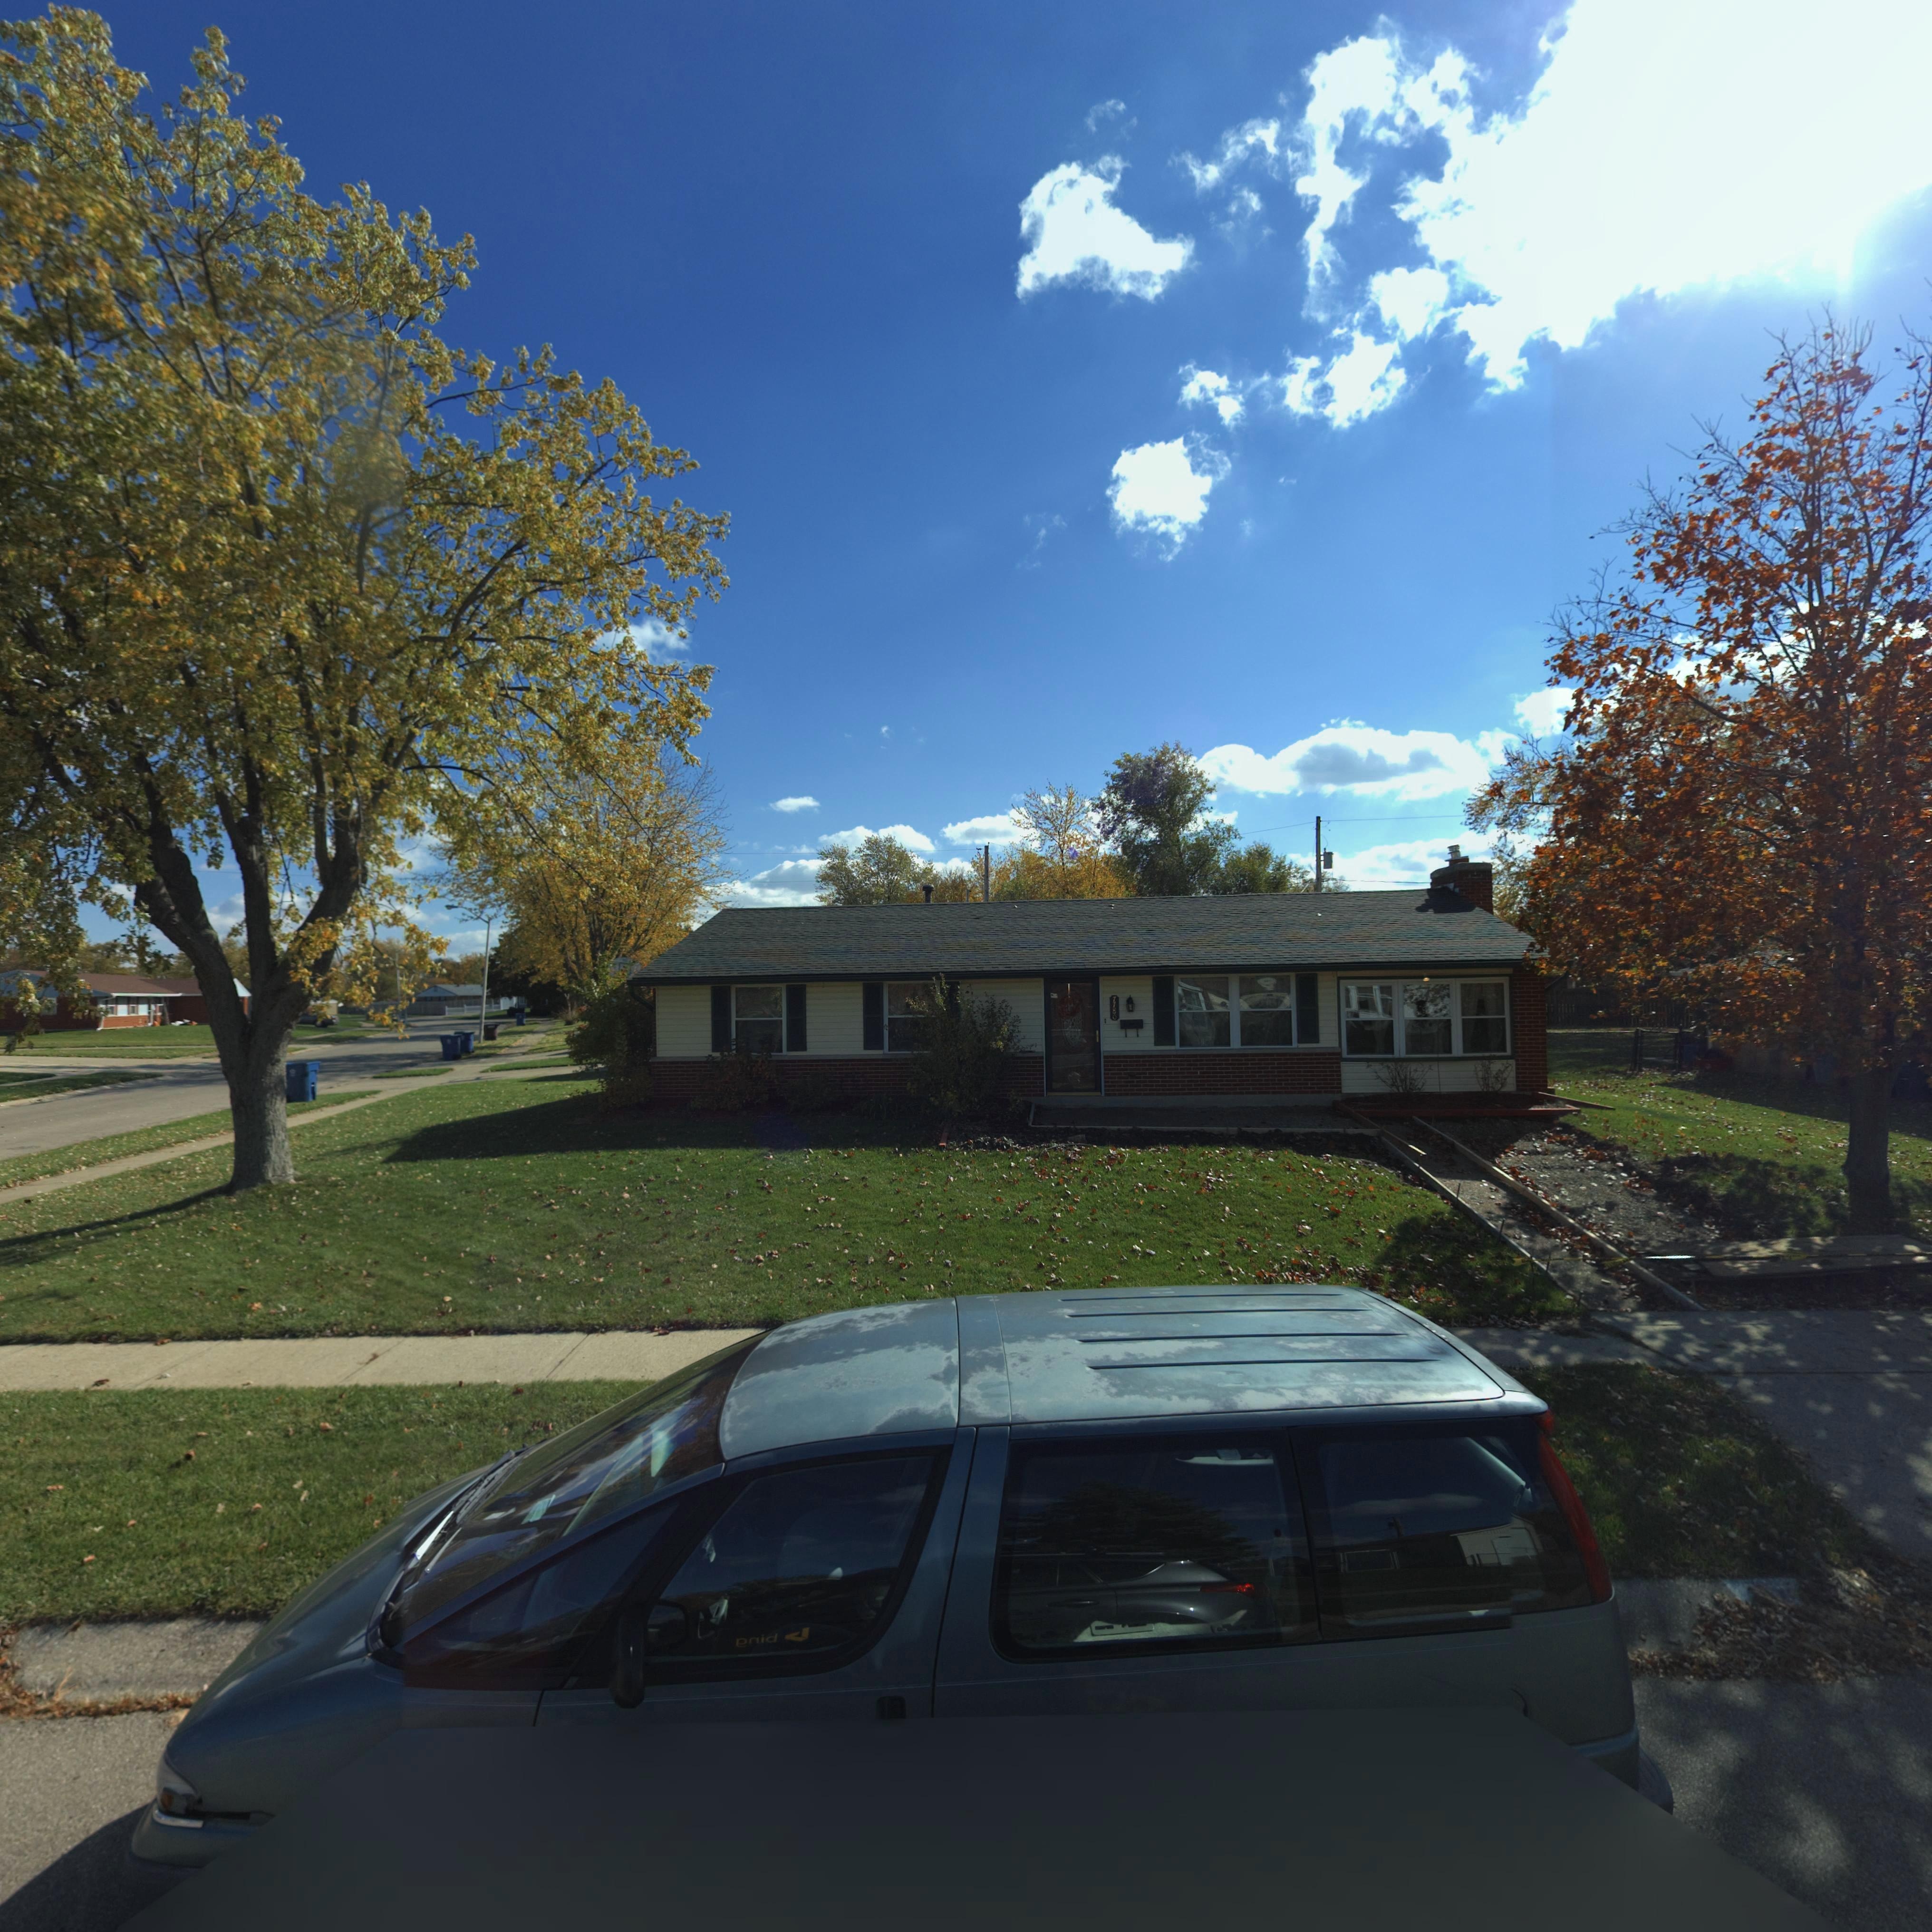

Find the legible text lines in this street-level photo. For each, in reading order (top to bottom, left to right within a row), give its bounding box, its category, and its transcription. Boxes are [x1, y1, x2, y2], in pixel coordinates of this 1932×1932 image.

[1112, 995, 1117, 1021] StreetNumber: 7780